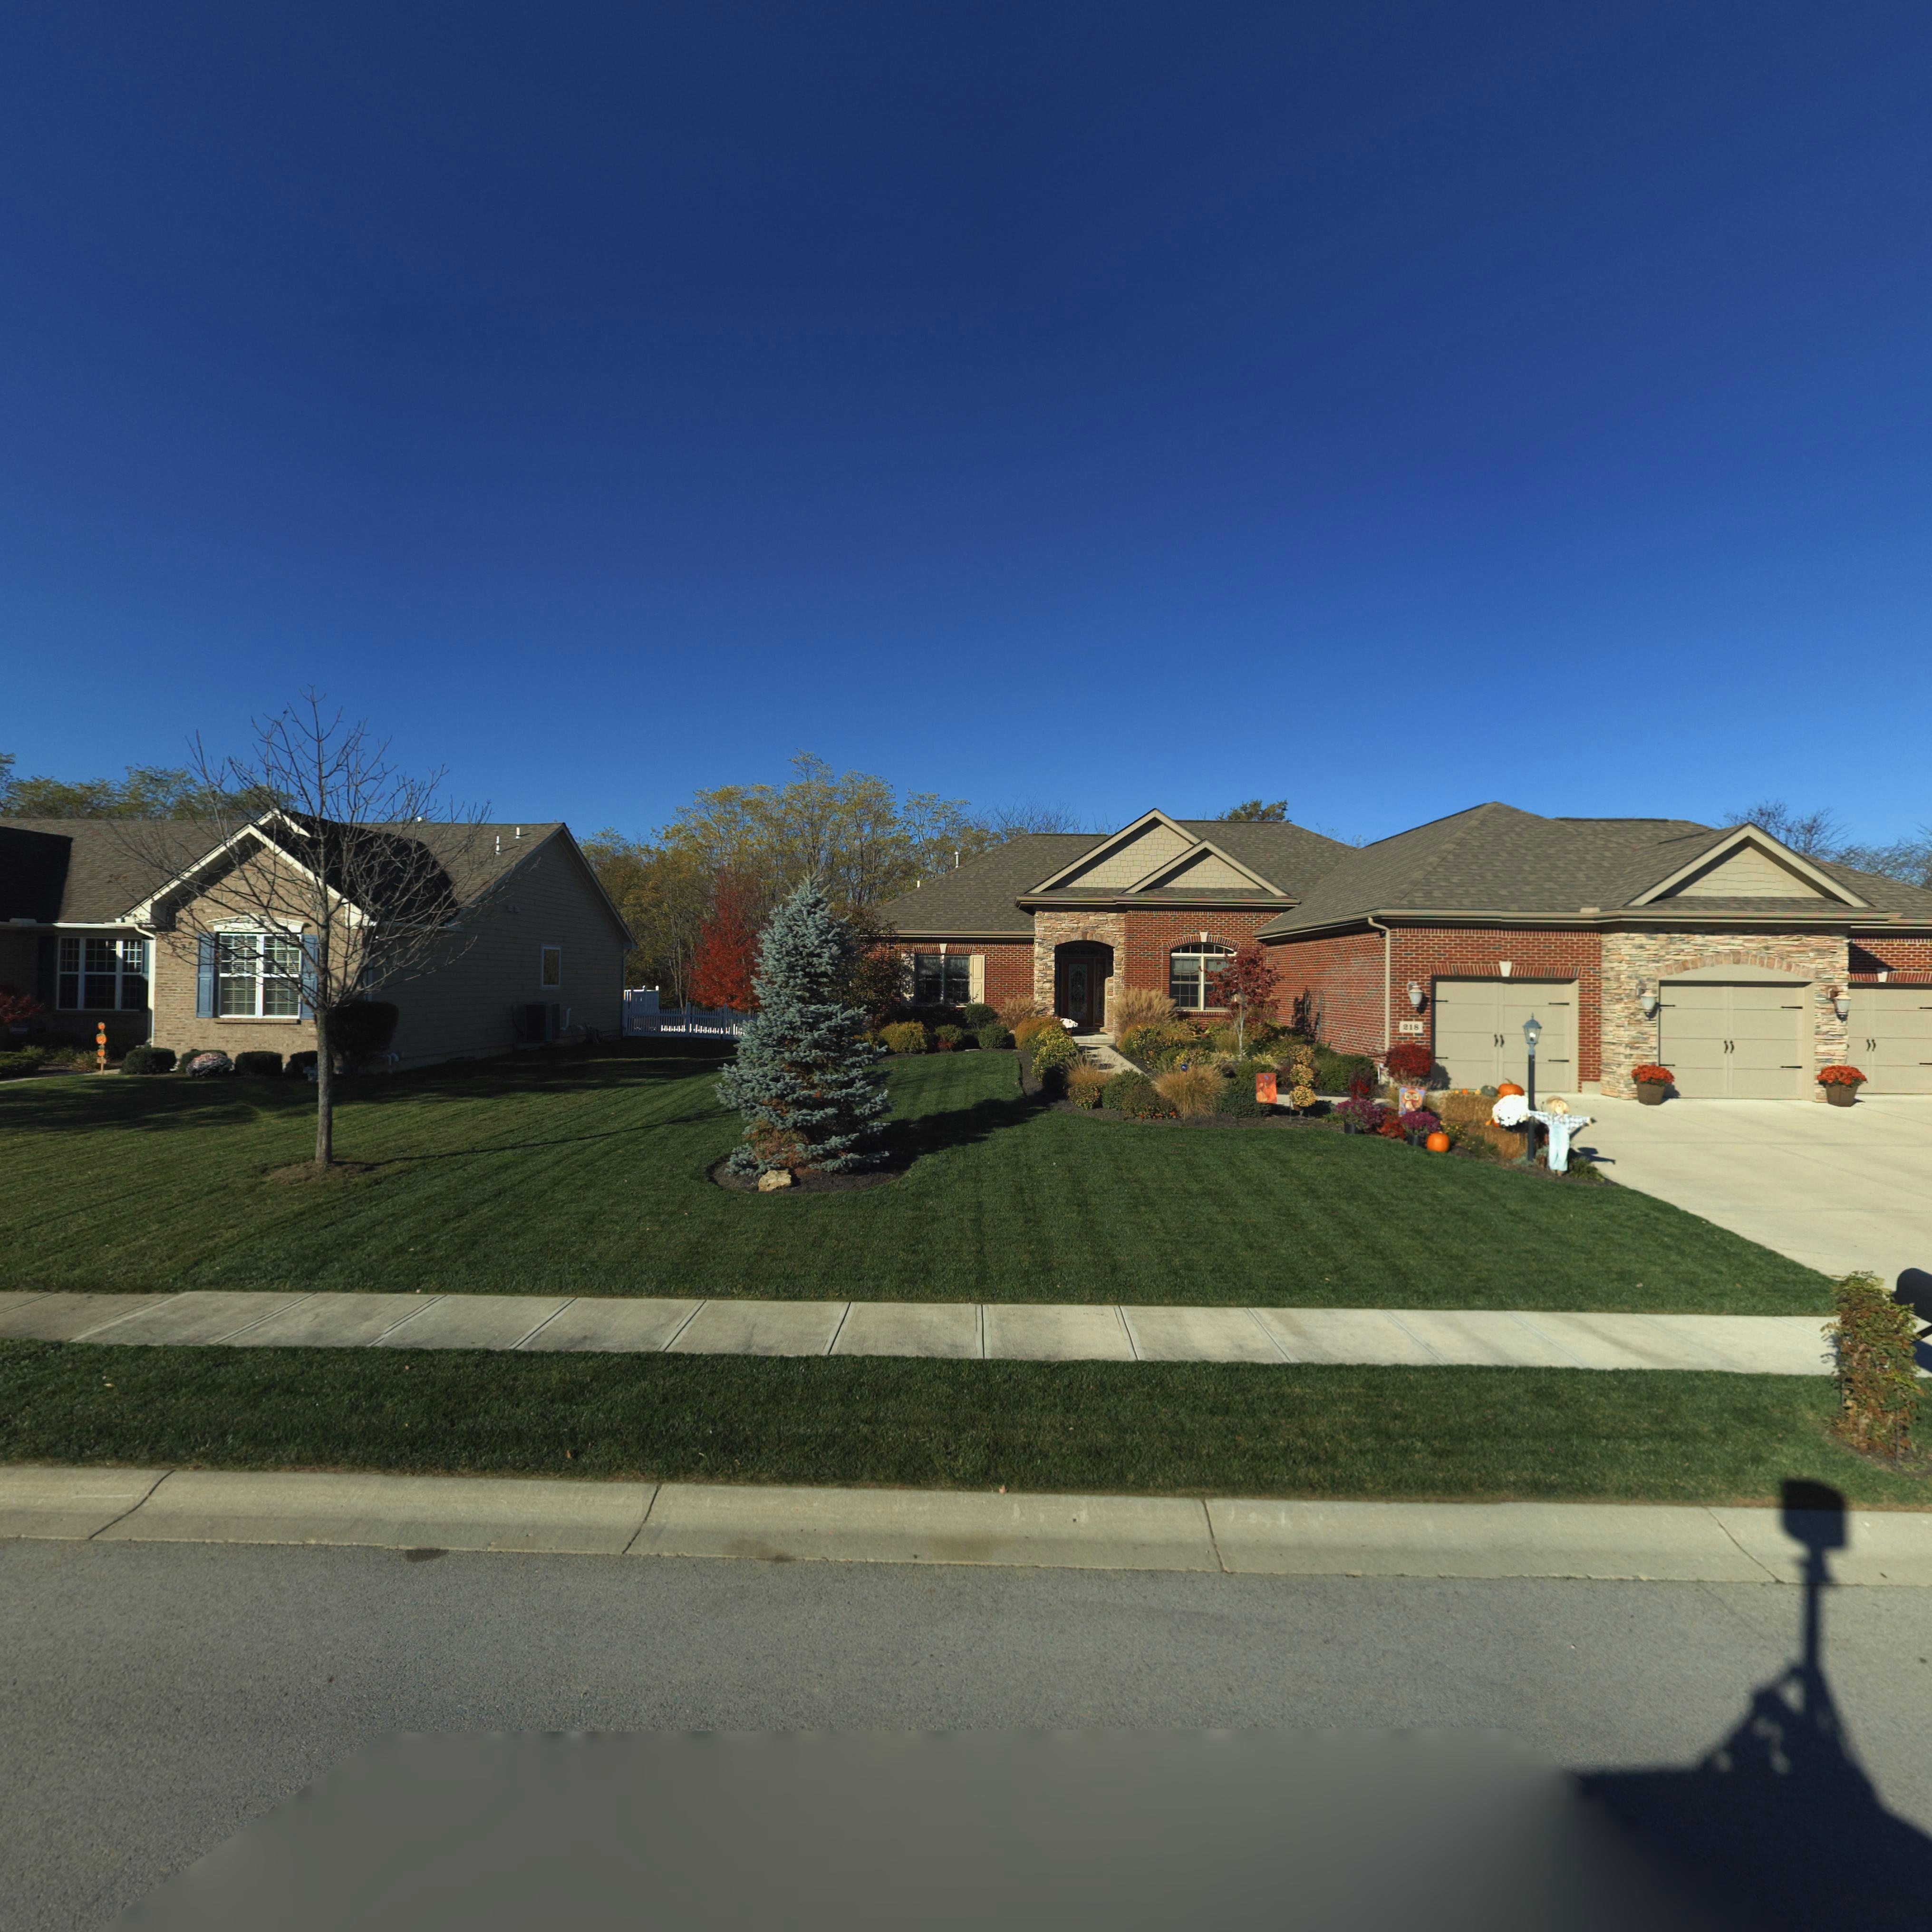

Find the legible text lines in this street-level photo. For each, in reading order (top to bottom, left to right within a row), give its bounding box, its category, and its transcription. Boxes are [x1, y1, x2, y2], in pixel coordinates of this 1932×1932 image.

[1402, 1023, 1420, 1031] StreetNumber: 218